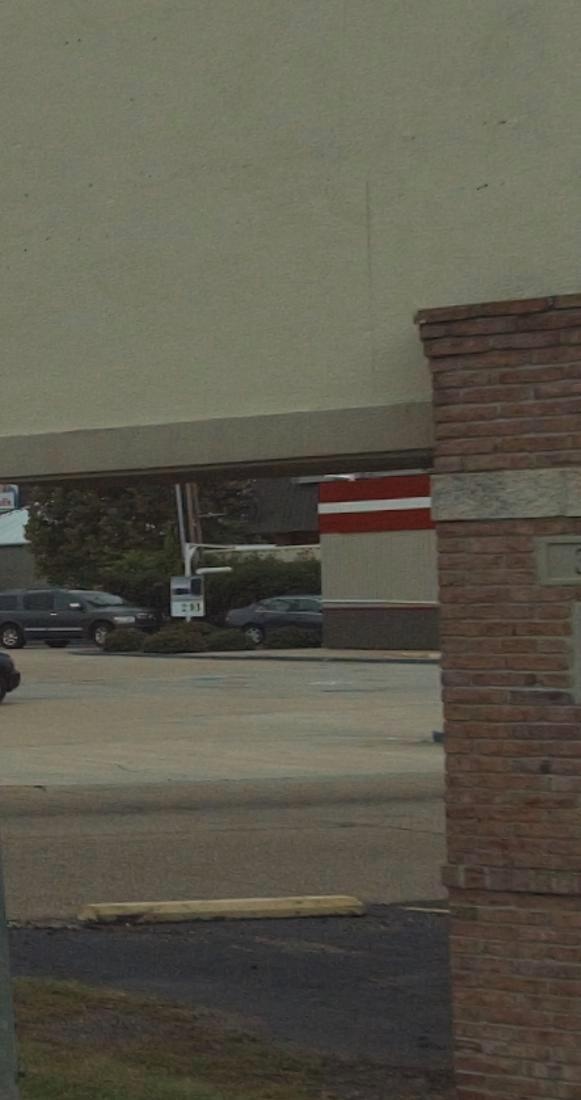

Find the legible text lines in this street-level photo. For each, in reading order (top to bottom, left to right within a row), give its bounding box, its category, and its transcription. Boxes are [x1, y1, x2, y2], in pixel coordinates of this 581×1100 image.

[180, 602, 201, 613] None: 2.93